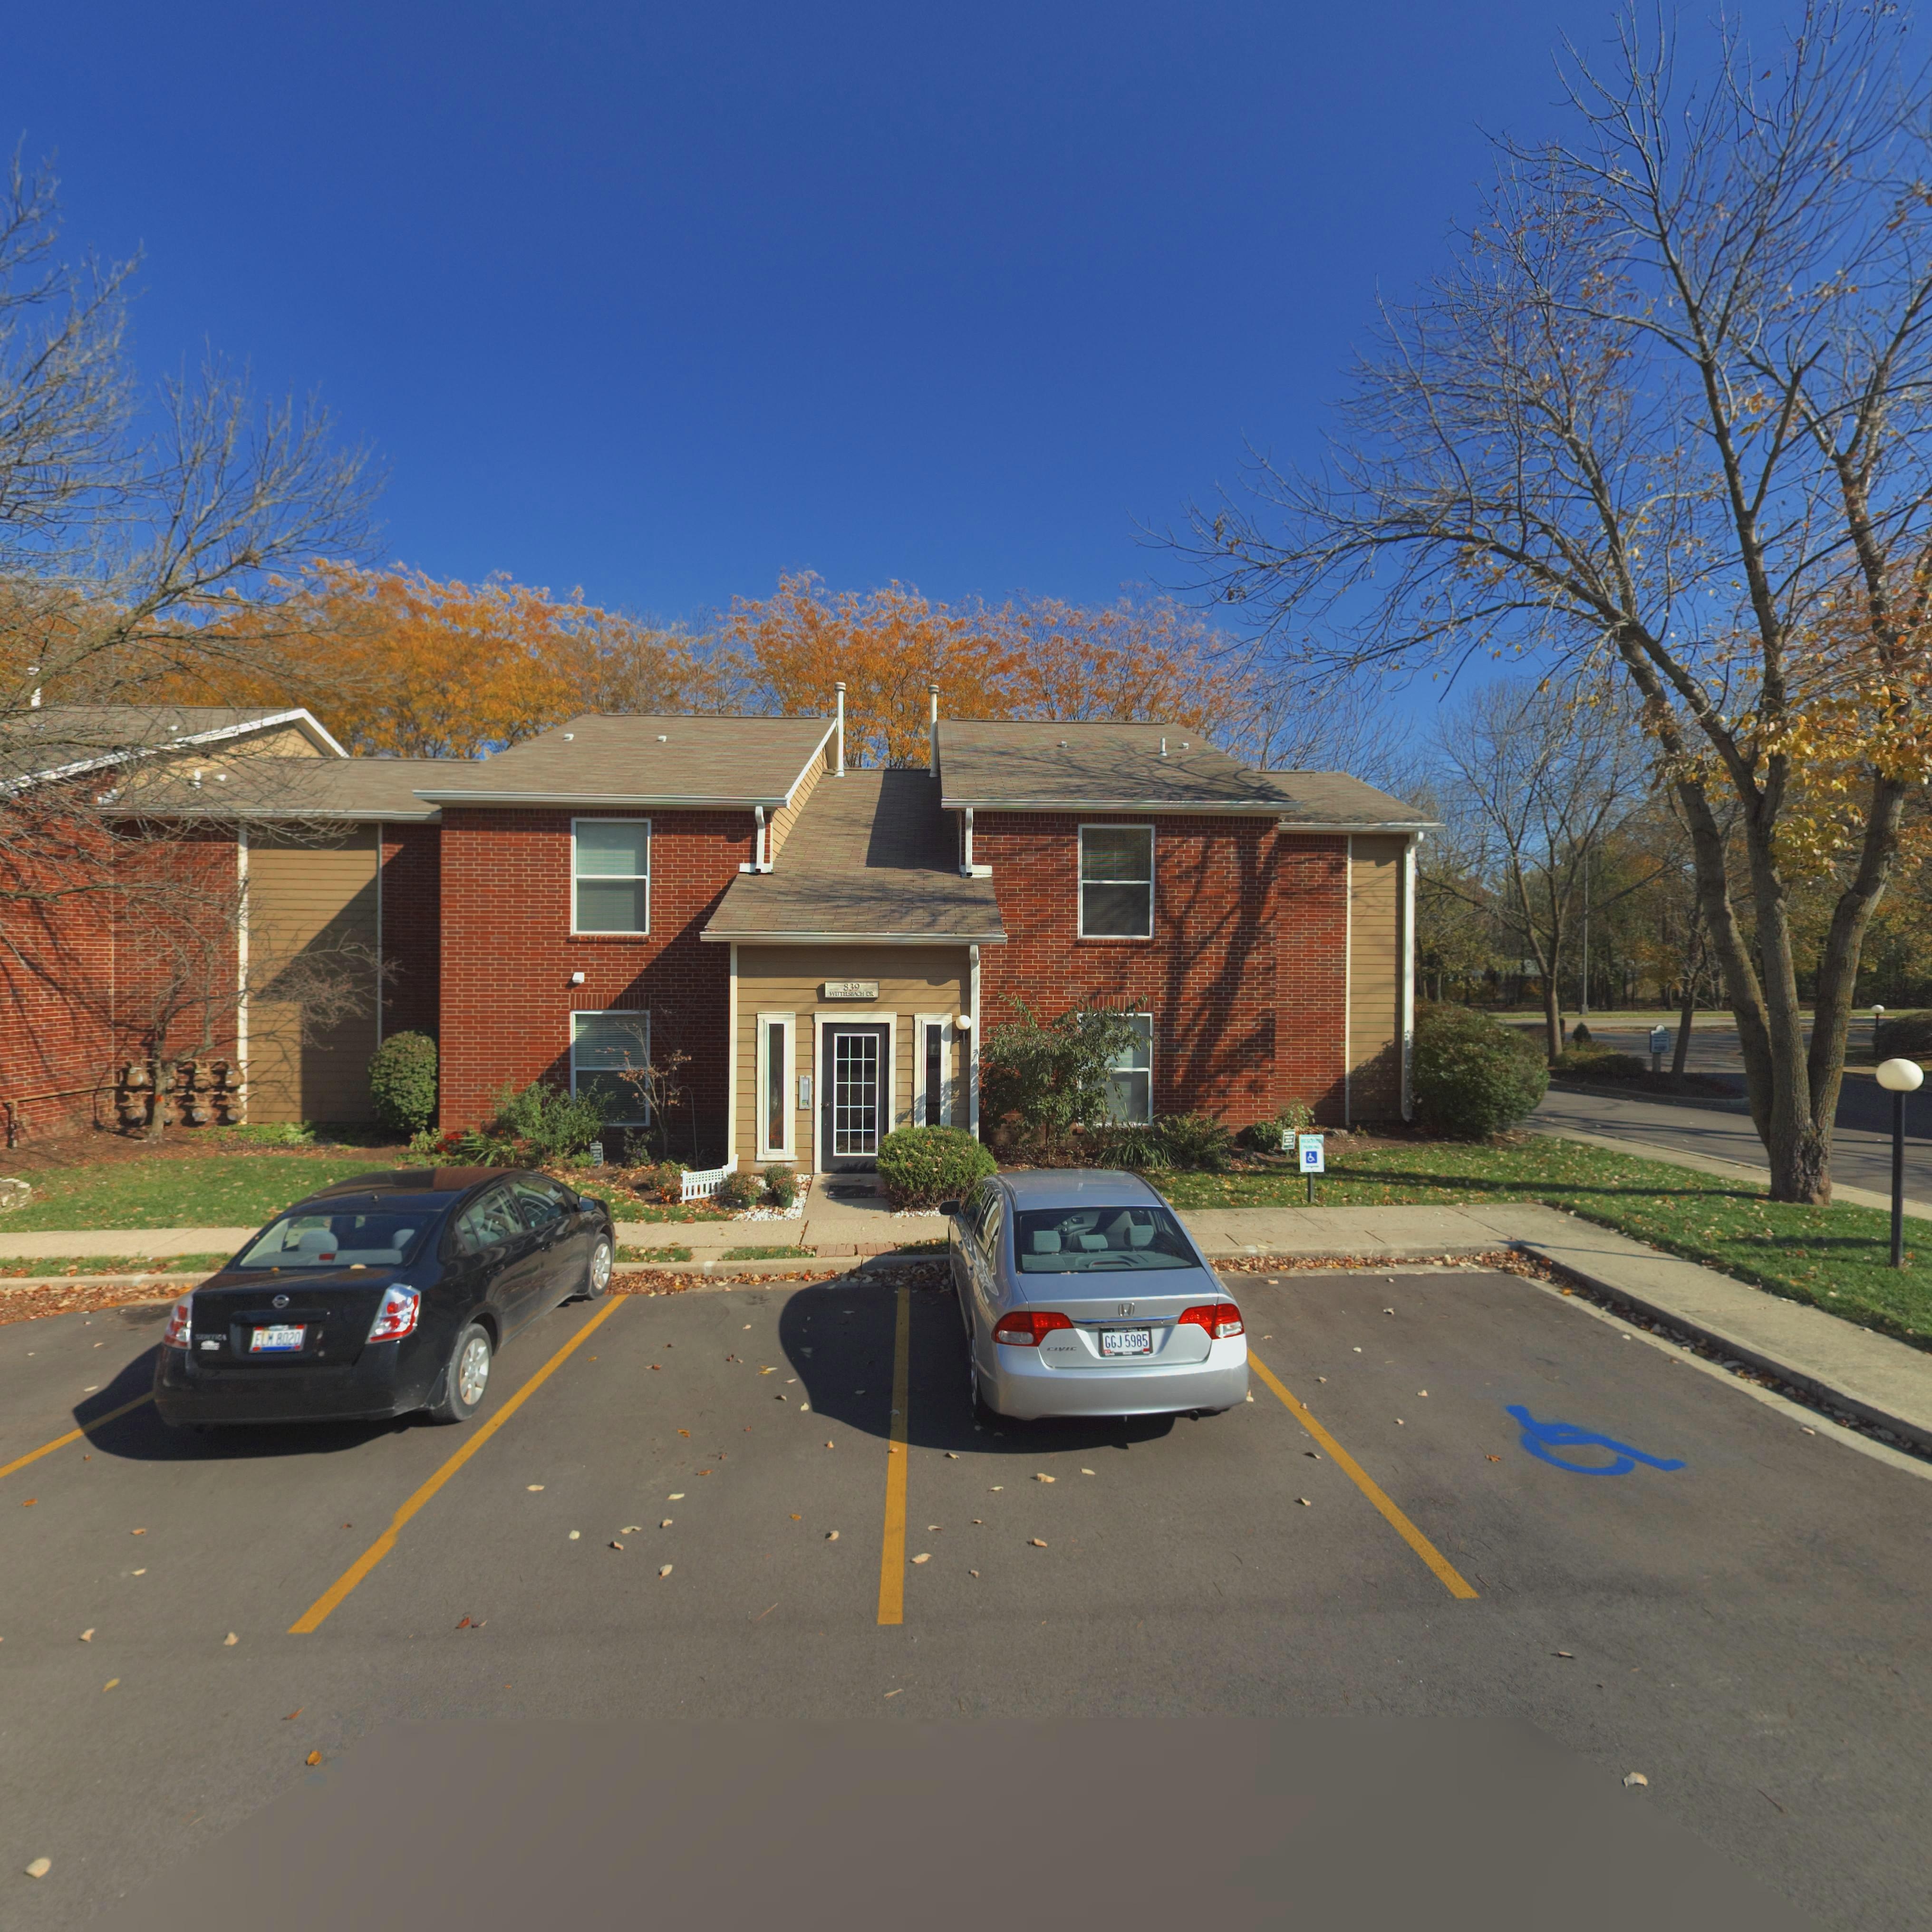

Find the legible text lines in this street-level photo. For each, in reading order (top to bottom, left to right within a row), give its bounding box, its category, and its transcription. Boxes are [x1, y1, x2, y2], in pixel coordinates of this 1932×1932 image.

[842, 982, 861, 992] StreetNumber: 839
[828, 990, 875, 997] StreetName: WITTELS**CH DR
[1121, 1303, 1132, 1317] None: H
[252, 1330, 303, 1347] None: ELM 8020
[1103, 1332, 1150, 1350] None: GGJ 5985
[1045, 1345, 1079, 1353] None: CIVIC